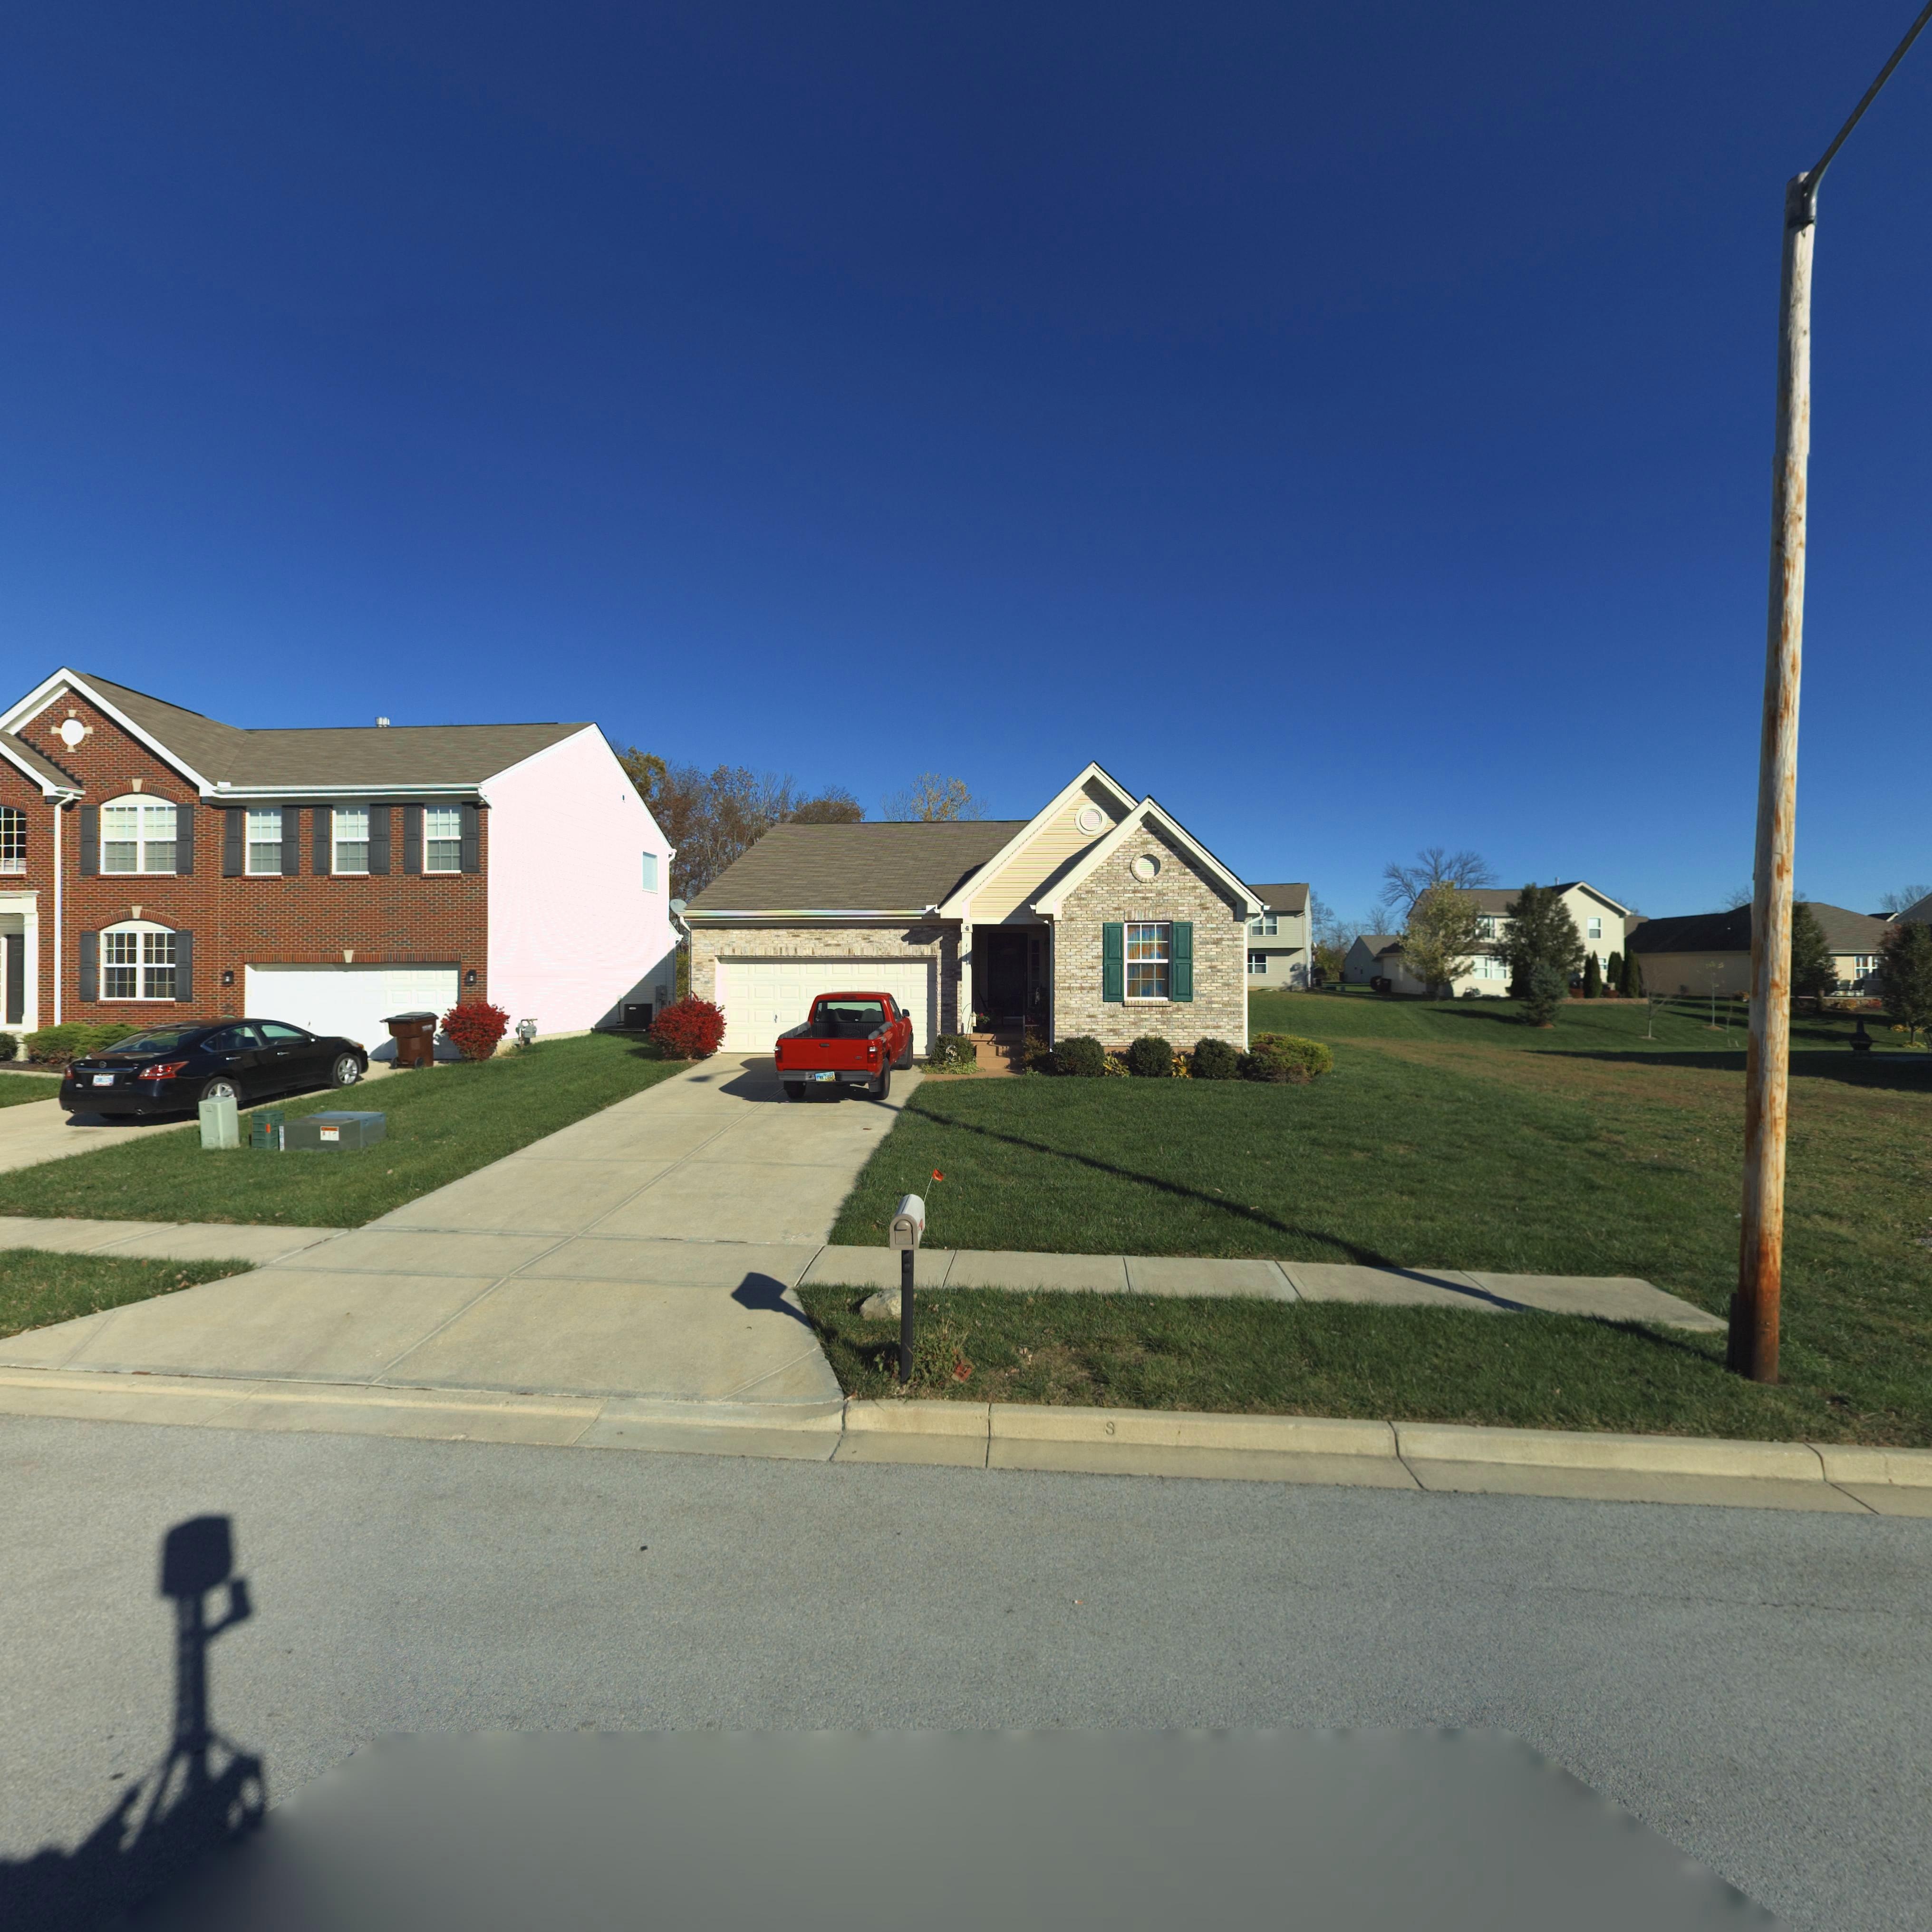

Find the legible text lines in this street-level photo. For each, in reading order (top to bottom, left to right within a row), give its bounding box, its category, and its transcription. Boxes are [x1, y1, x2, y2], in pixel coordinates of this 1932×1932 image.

[964, 942, 969, 966] StreetNumber: 1114